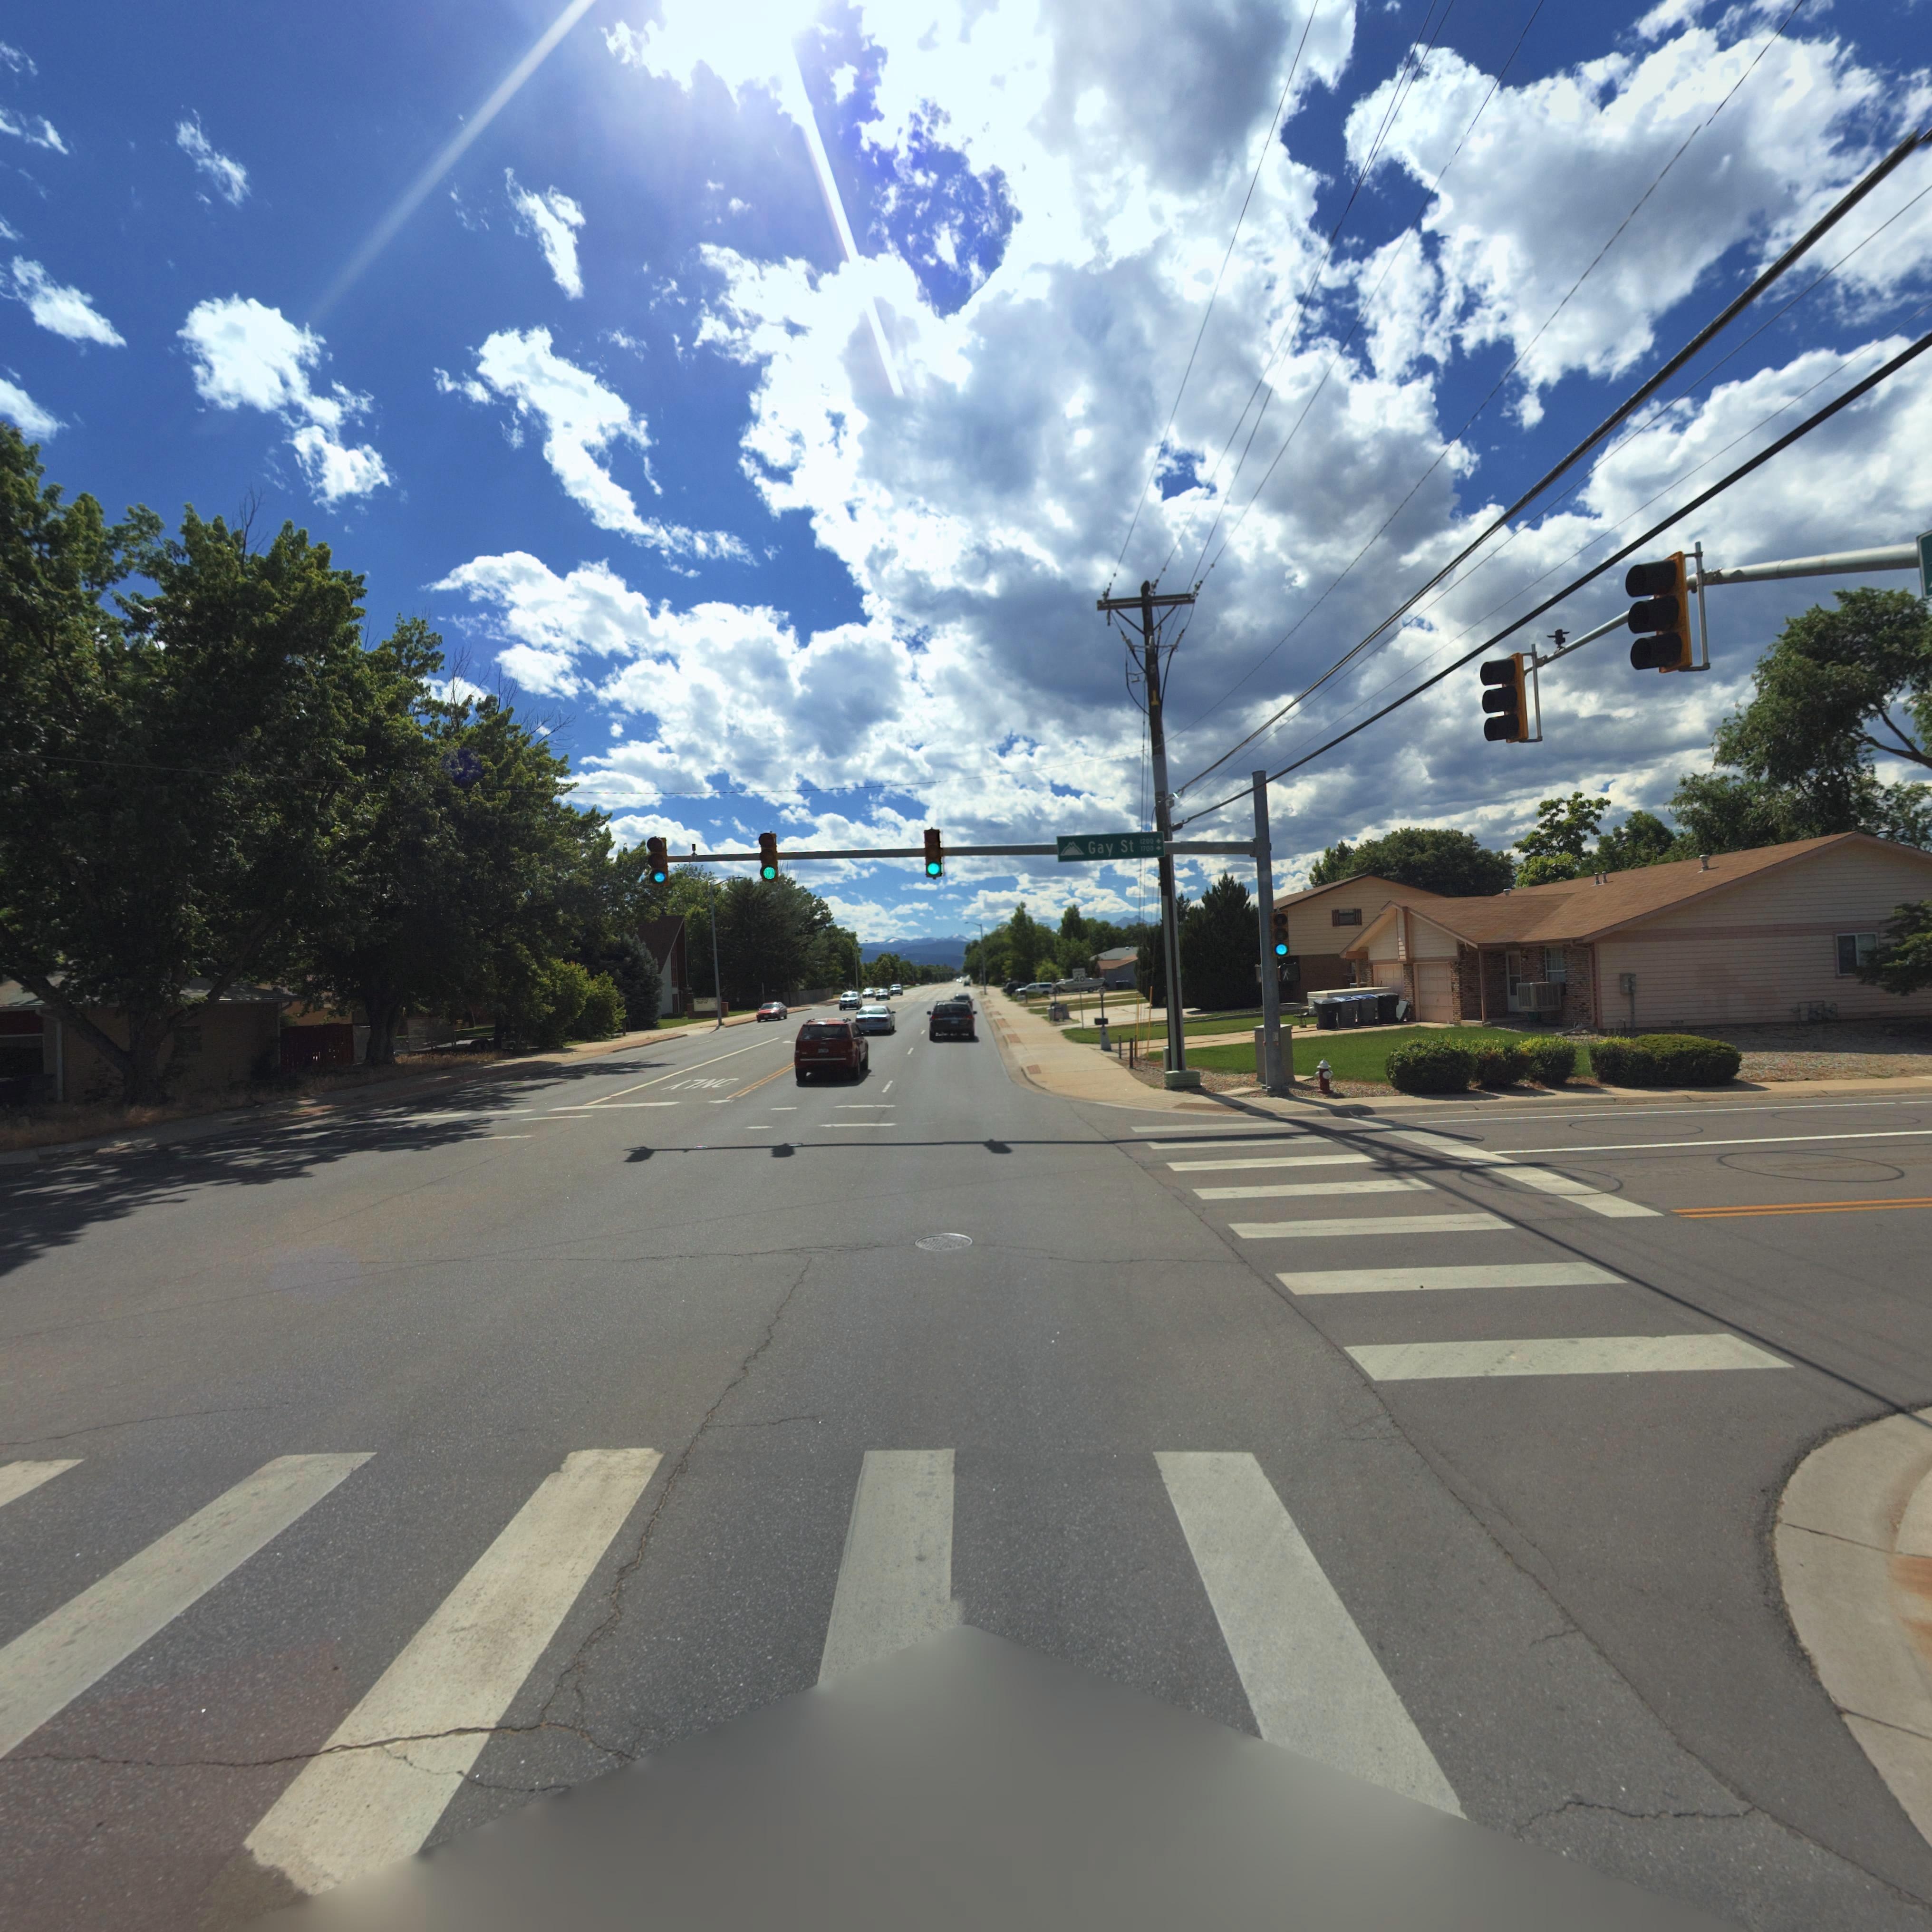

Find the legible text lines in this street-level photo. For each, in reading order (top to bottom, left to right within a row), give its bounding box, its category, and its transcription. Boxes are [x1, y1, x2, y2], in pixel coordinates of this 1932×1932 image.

[1140, 838, 1154, 844] StreetNumberRange: 1200
[1088, 839, 1134, 856] StreetName: Gay St
[1140, 845, 1161, 851] StreetNumberRange: 1700 ->